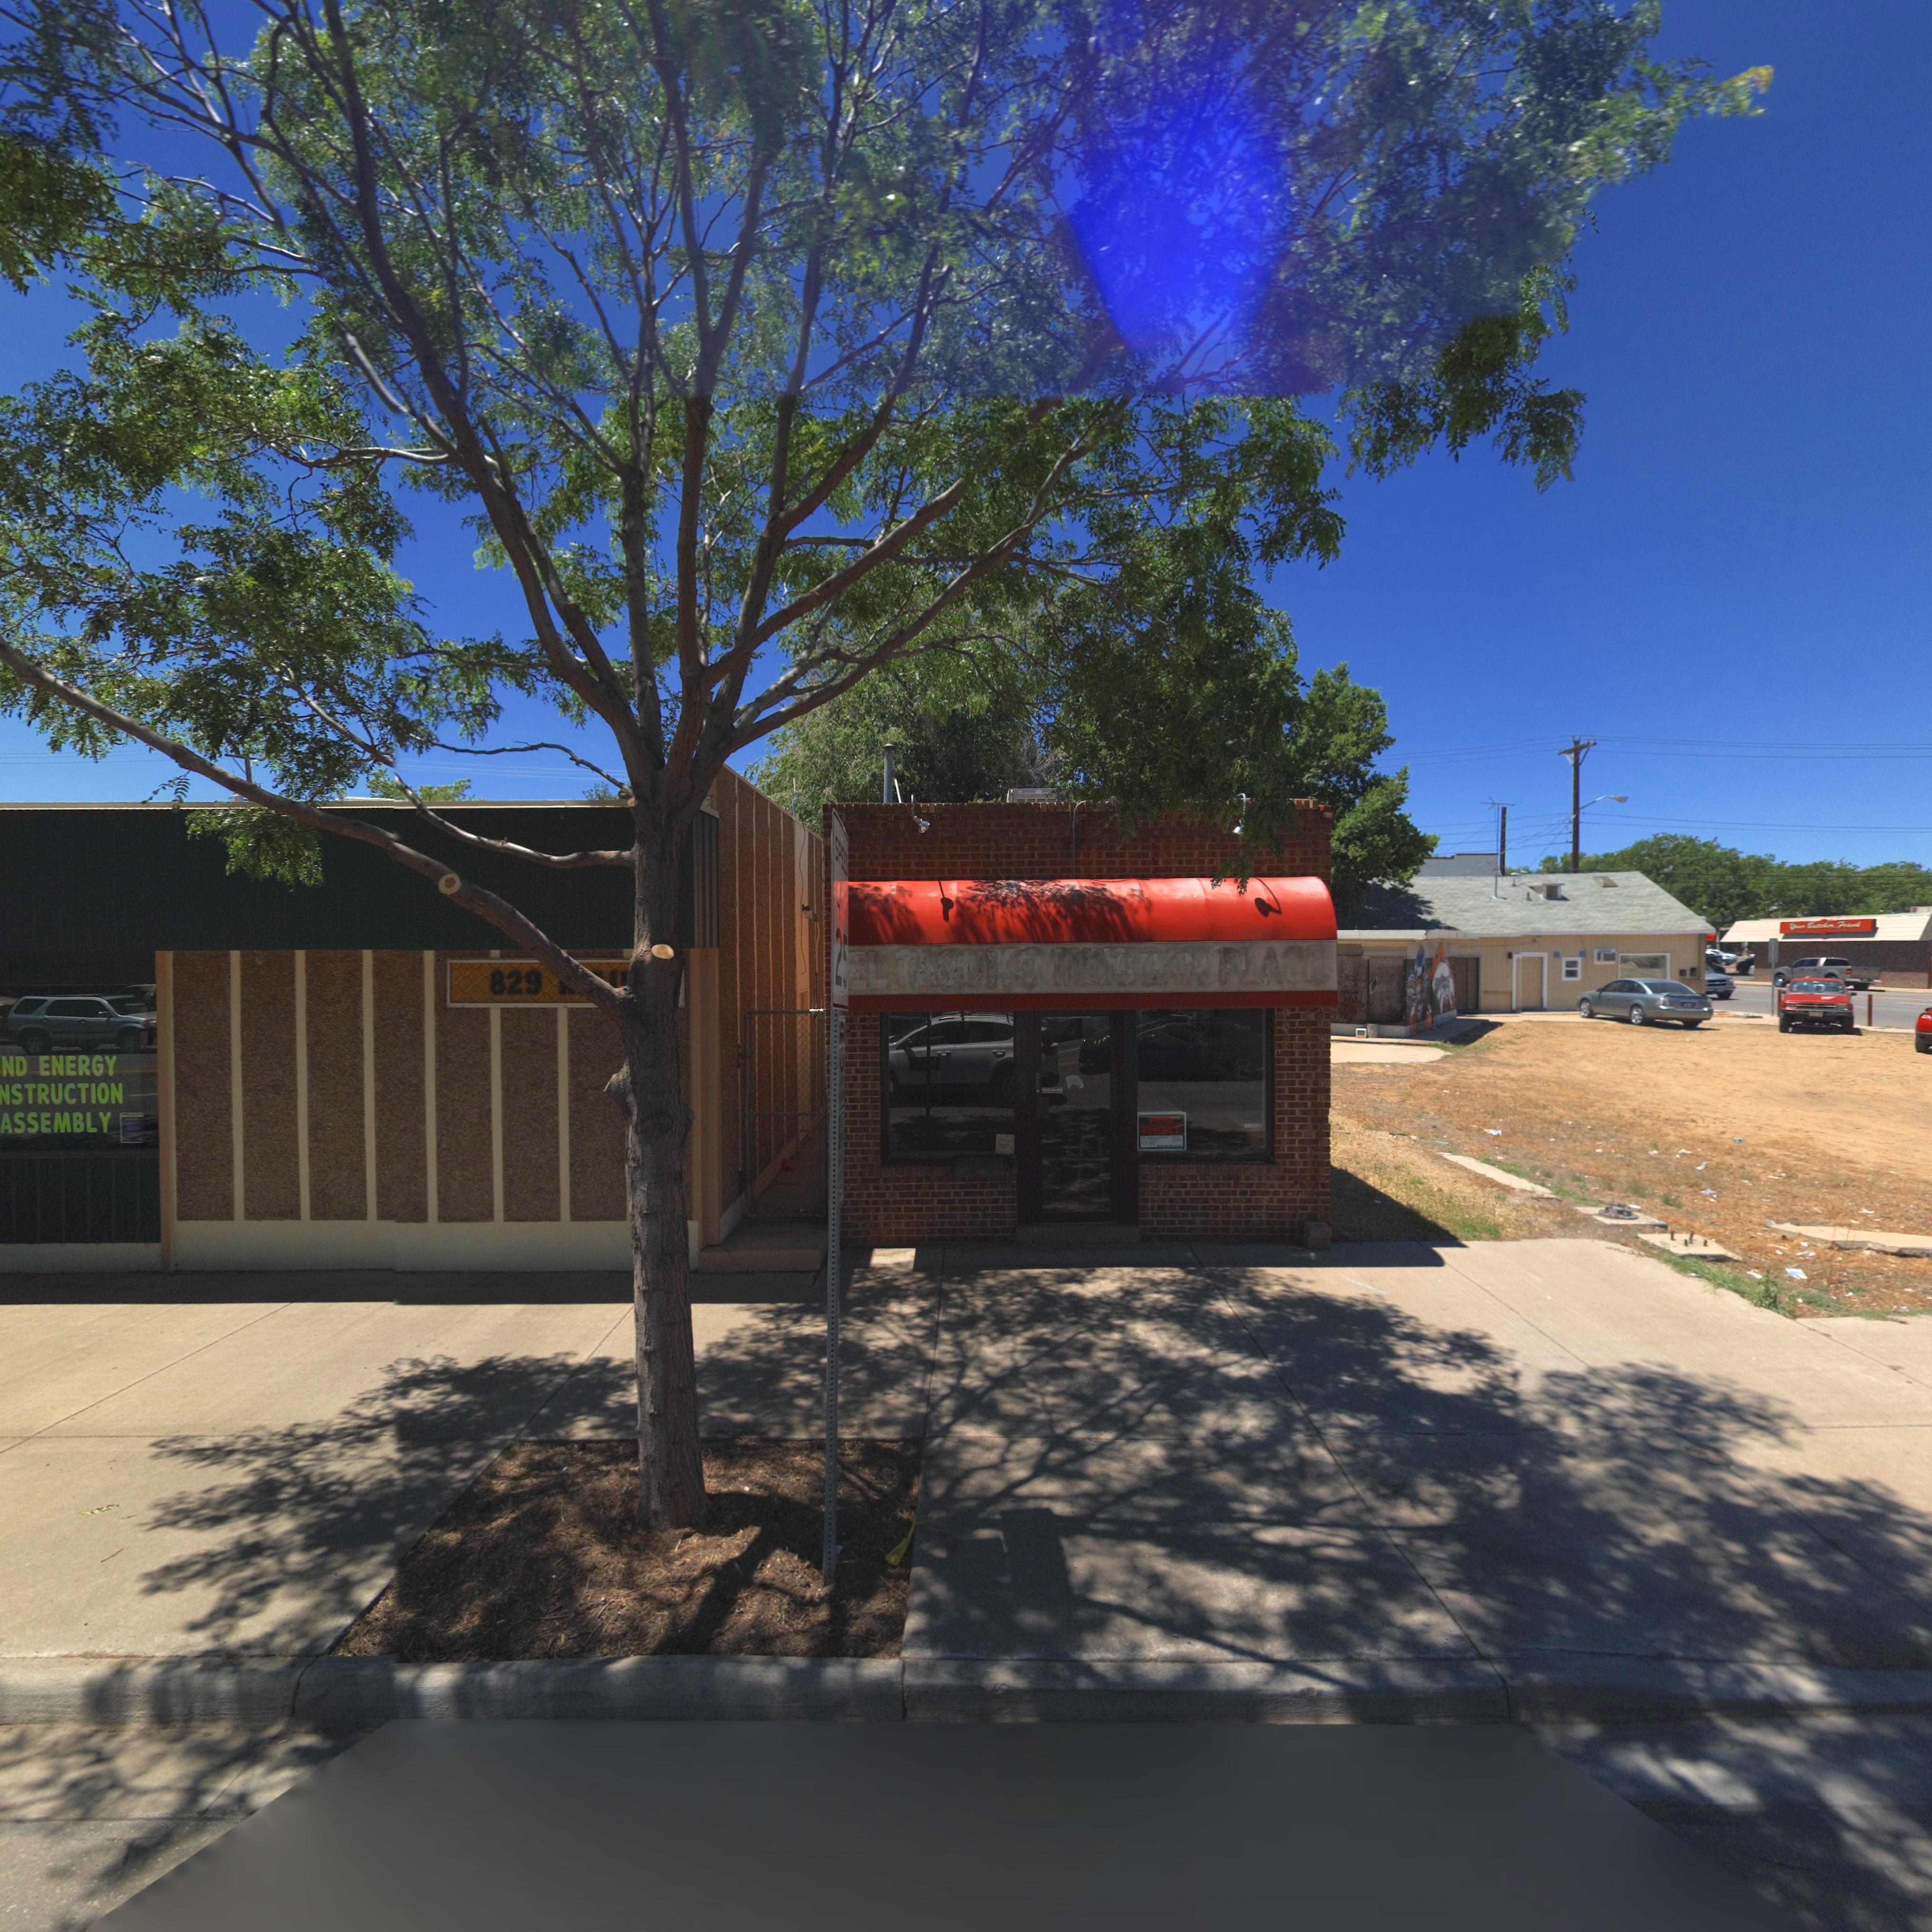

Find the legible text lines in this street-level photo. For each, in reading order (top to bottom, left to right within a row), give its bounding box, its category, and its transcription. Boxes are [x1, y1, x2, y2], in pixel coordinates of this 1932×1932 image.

[1788, 920, 1861, 930] BusinessName: Y**r B*tch** Fr**k
[488, 968, 542, 995] StreetNumber: 829